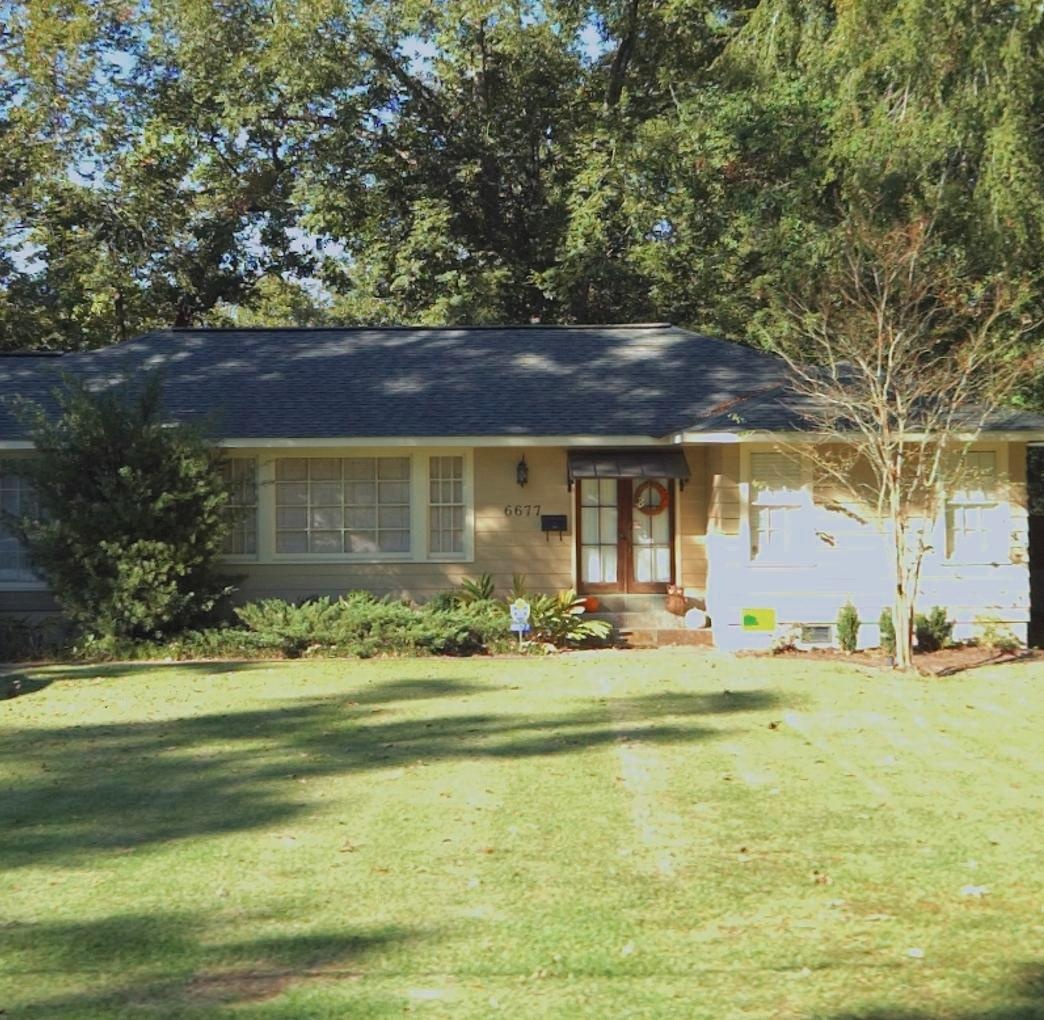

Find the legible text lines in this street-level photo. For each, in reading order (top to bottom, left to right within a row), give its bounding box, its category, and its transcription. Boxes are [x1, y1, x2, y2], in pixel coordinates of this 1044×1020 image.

[502, 503, 543, 518] StreetNumber: 6677